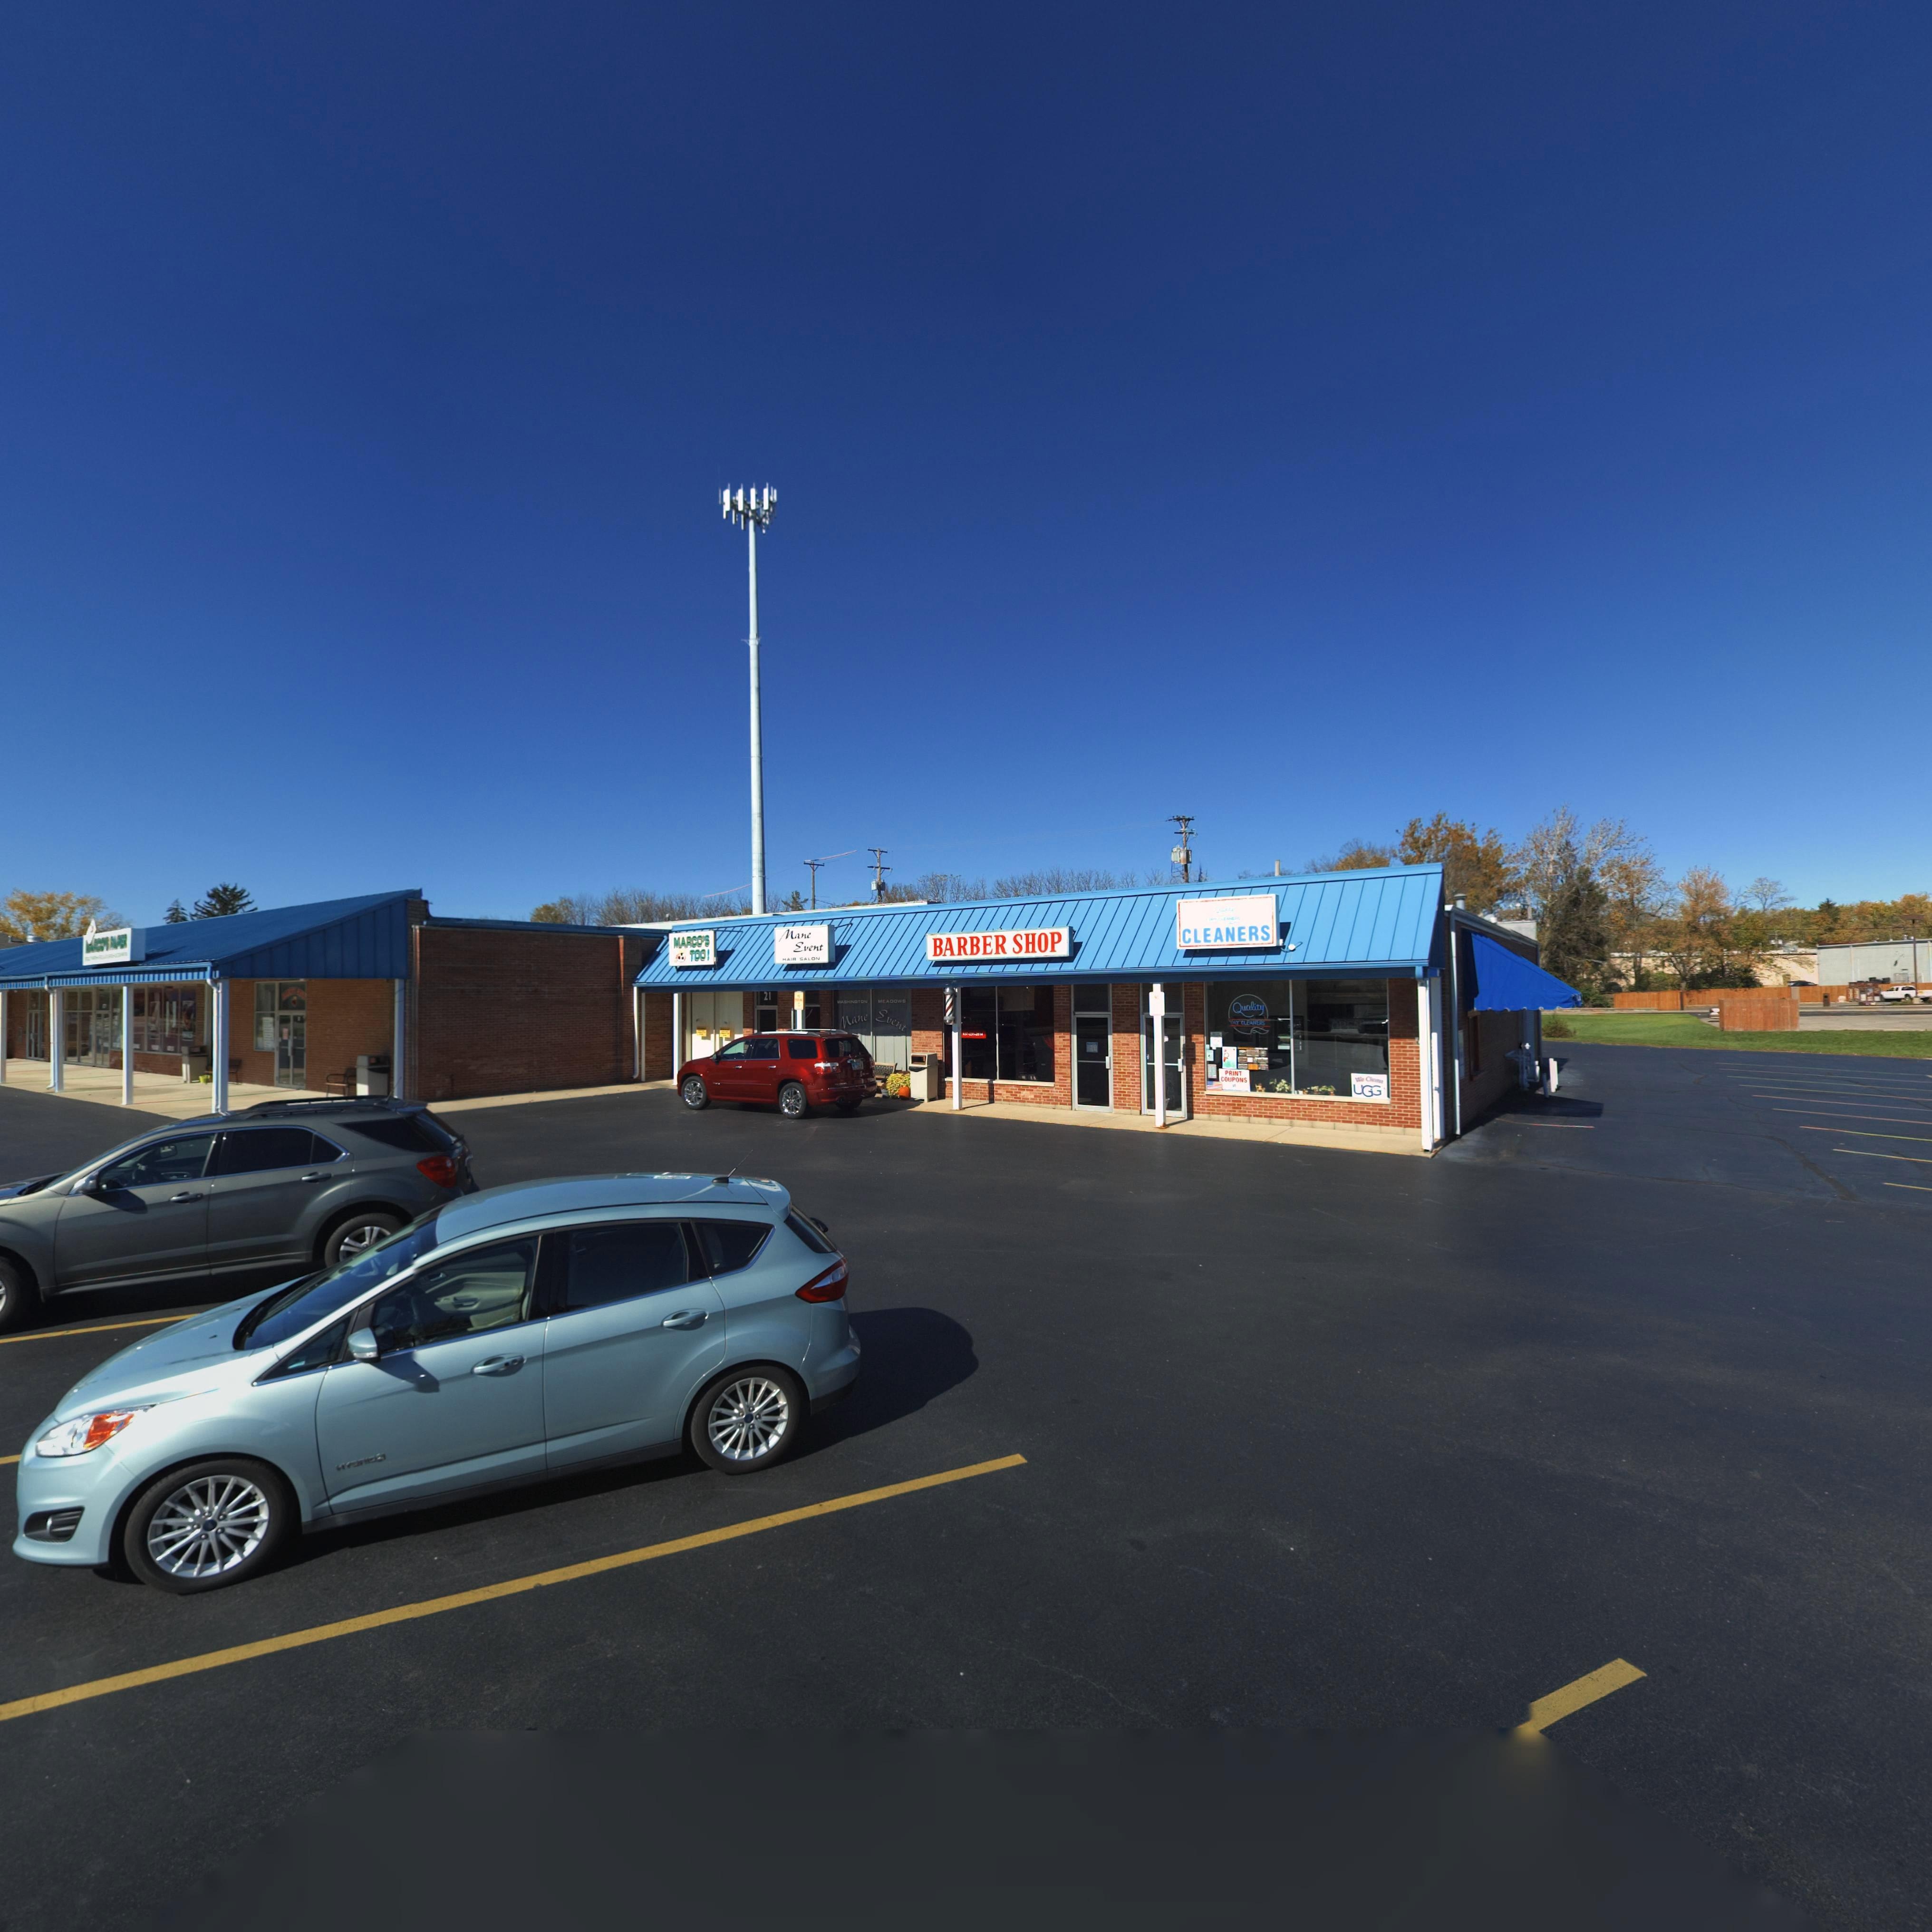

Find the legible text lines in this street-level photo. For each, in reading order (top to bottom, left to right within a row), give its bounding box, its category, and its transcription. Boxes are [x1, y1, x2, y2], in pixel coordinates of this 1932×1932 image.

[673, 934, 710, 949] BusinessName: MARCO'S
[777, 928, 812, 943] BusinessName: Mane
[792, 941, 824, 953] BusinessName: Event
[931, 931, 1063, 957] BusinessName: BARBER SHOP
[1181, 924, 1271, 945] BusinessName: CLEANERS
[689, 948, 710, 962] BusinessName: TOO!
[782, 956, 821, 962] None: HAIR SALON
[763, 991, 772, 1001] StreetNumber: 21
[836, 998, 907, 1005] None: WASHINGTON MEADOWS
[1231, 1000, 1265, 1018] None: Quality
[838, 1008, 908, 1034] BusinessName: Mane Event
[1229, 1020, 1265, 1026] None: DRY CLEANERS
[1225, 1070, 1242, 1077] None: PRINT
[1220, 1076, 1248, 1083] None: COUPONS
[1352, 1083, 1382, 1098] None: UGG
[333, 1454, 377, 1472] None: HYBRID